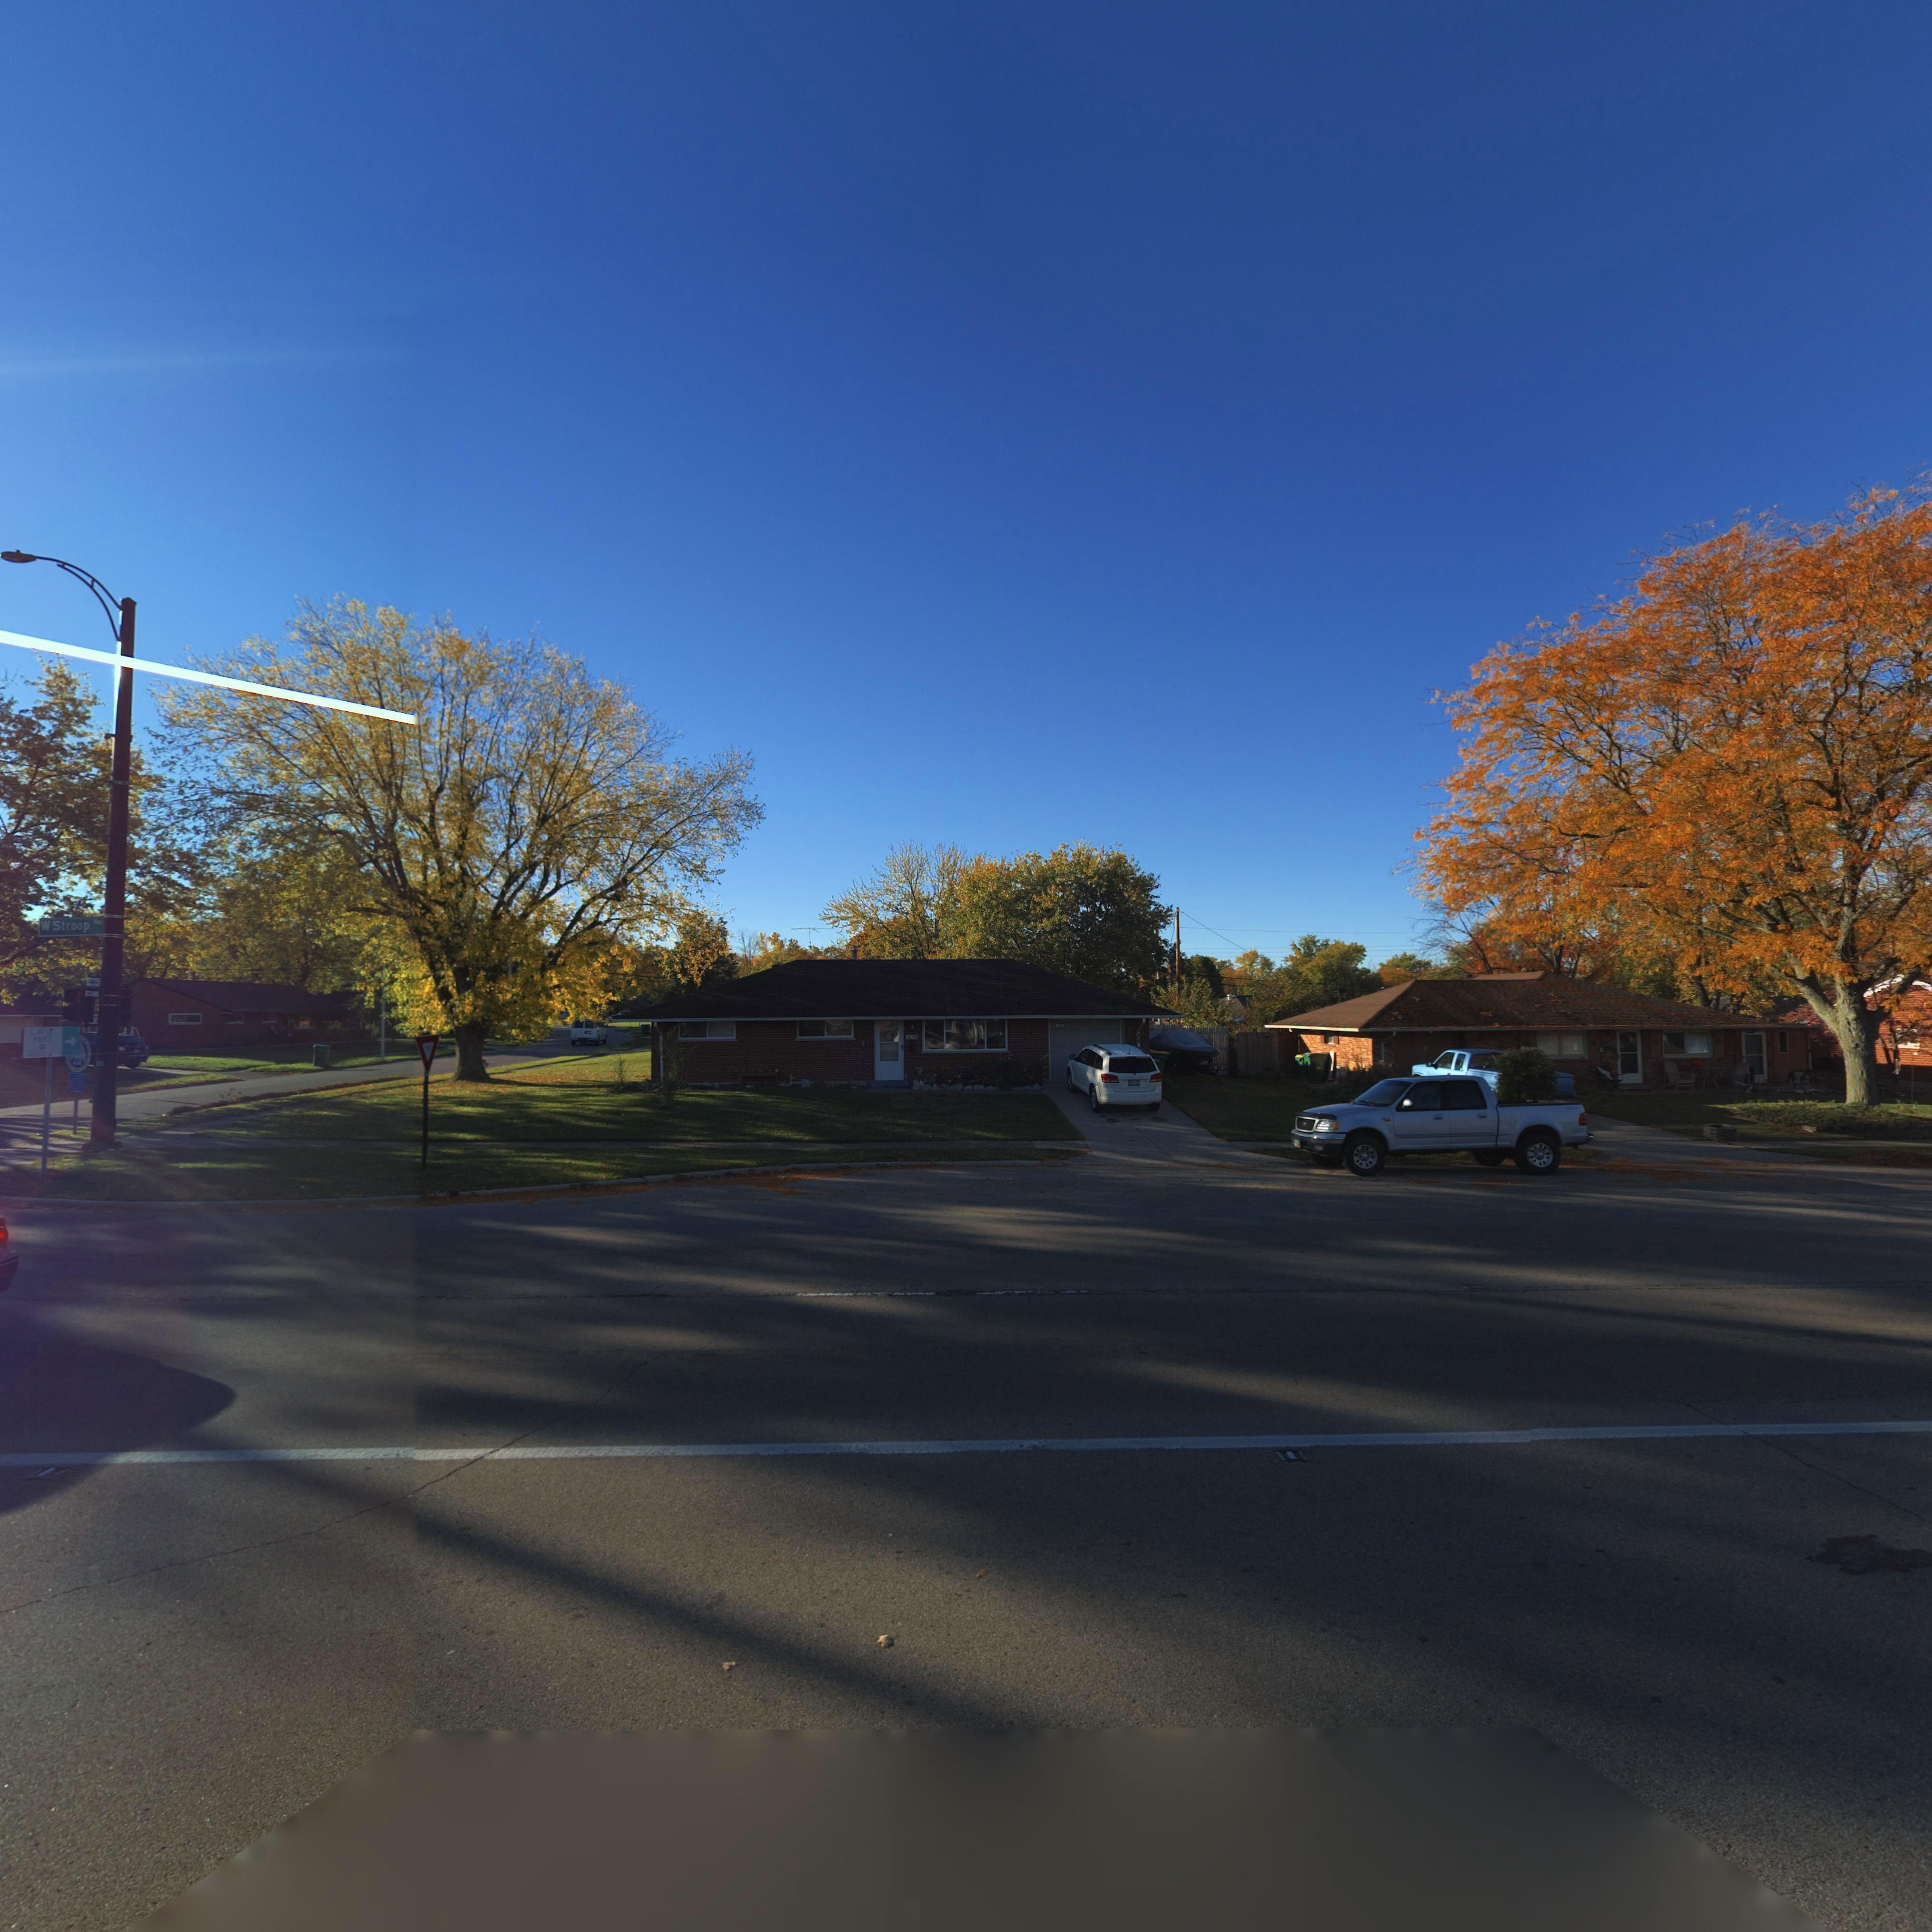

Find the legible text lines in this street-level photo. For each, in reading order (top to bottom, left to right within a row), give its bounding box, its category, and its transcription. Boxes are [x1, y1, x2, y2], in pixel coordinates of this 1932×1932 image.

[906, 1034, 918, 1040] StreetNumber: *0*6